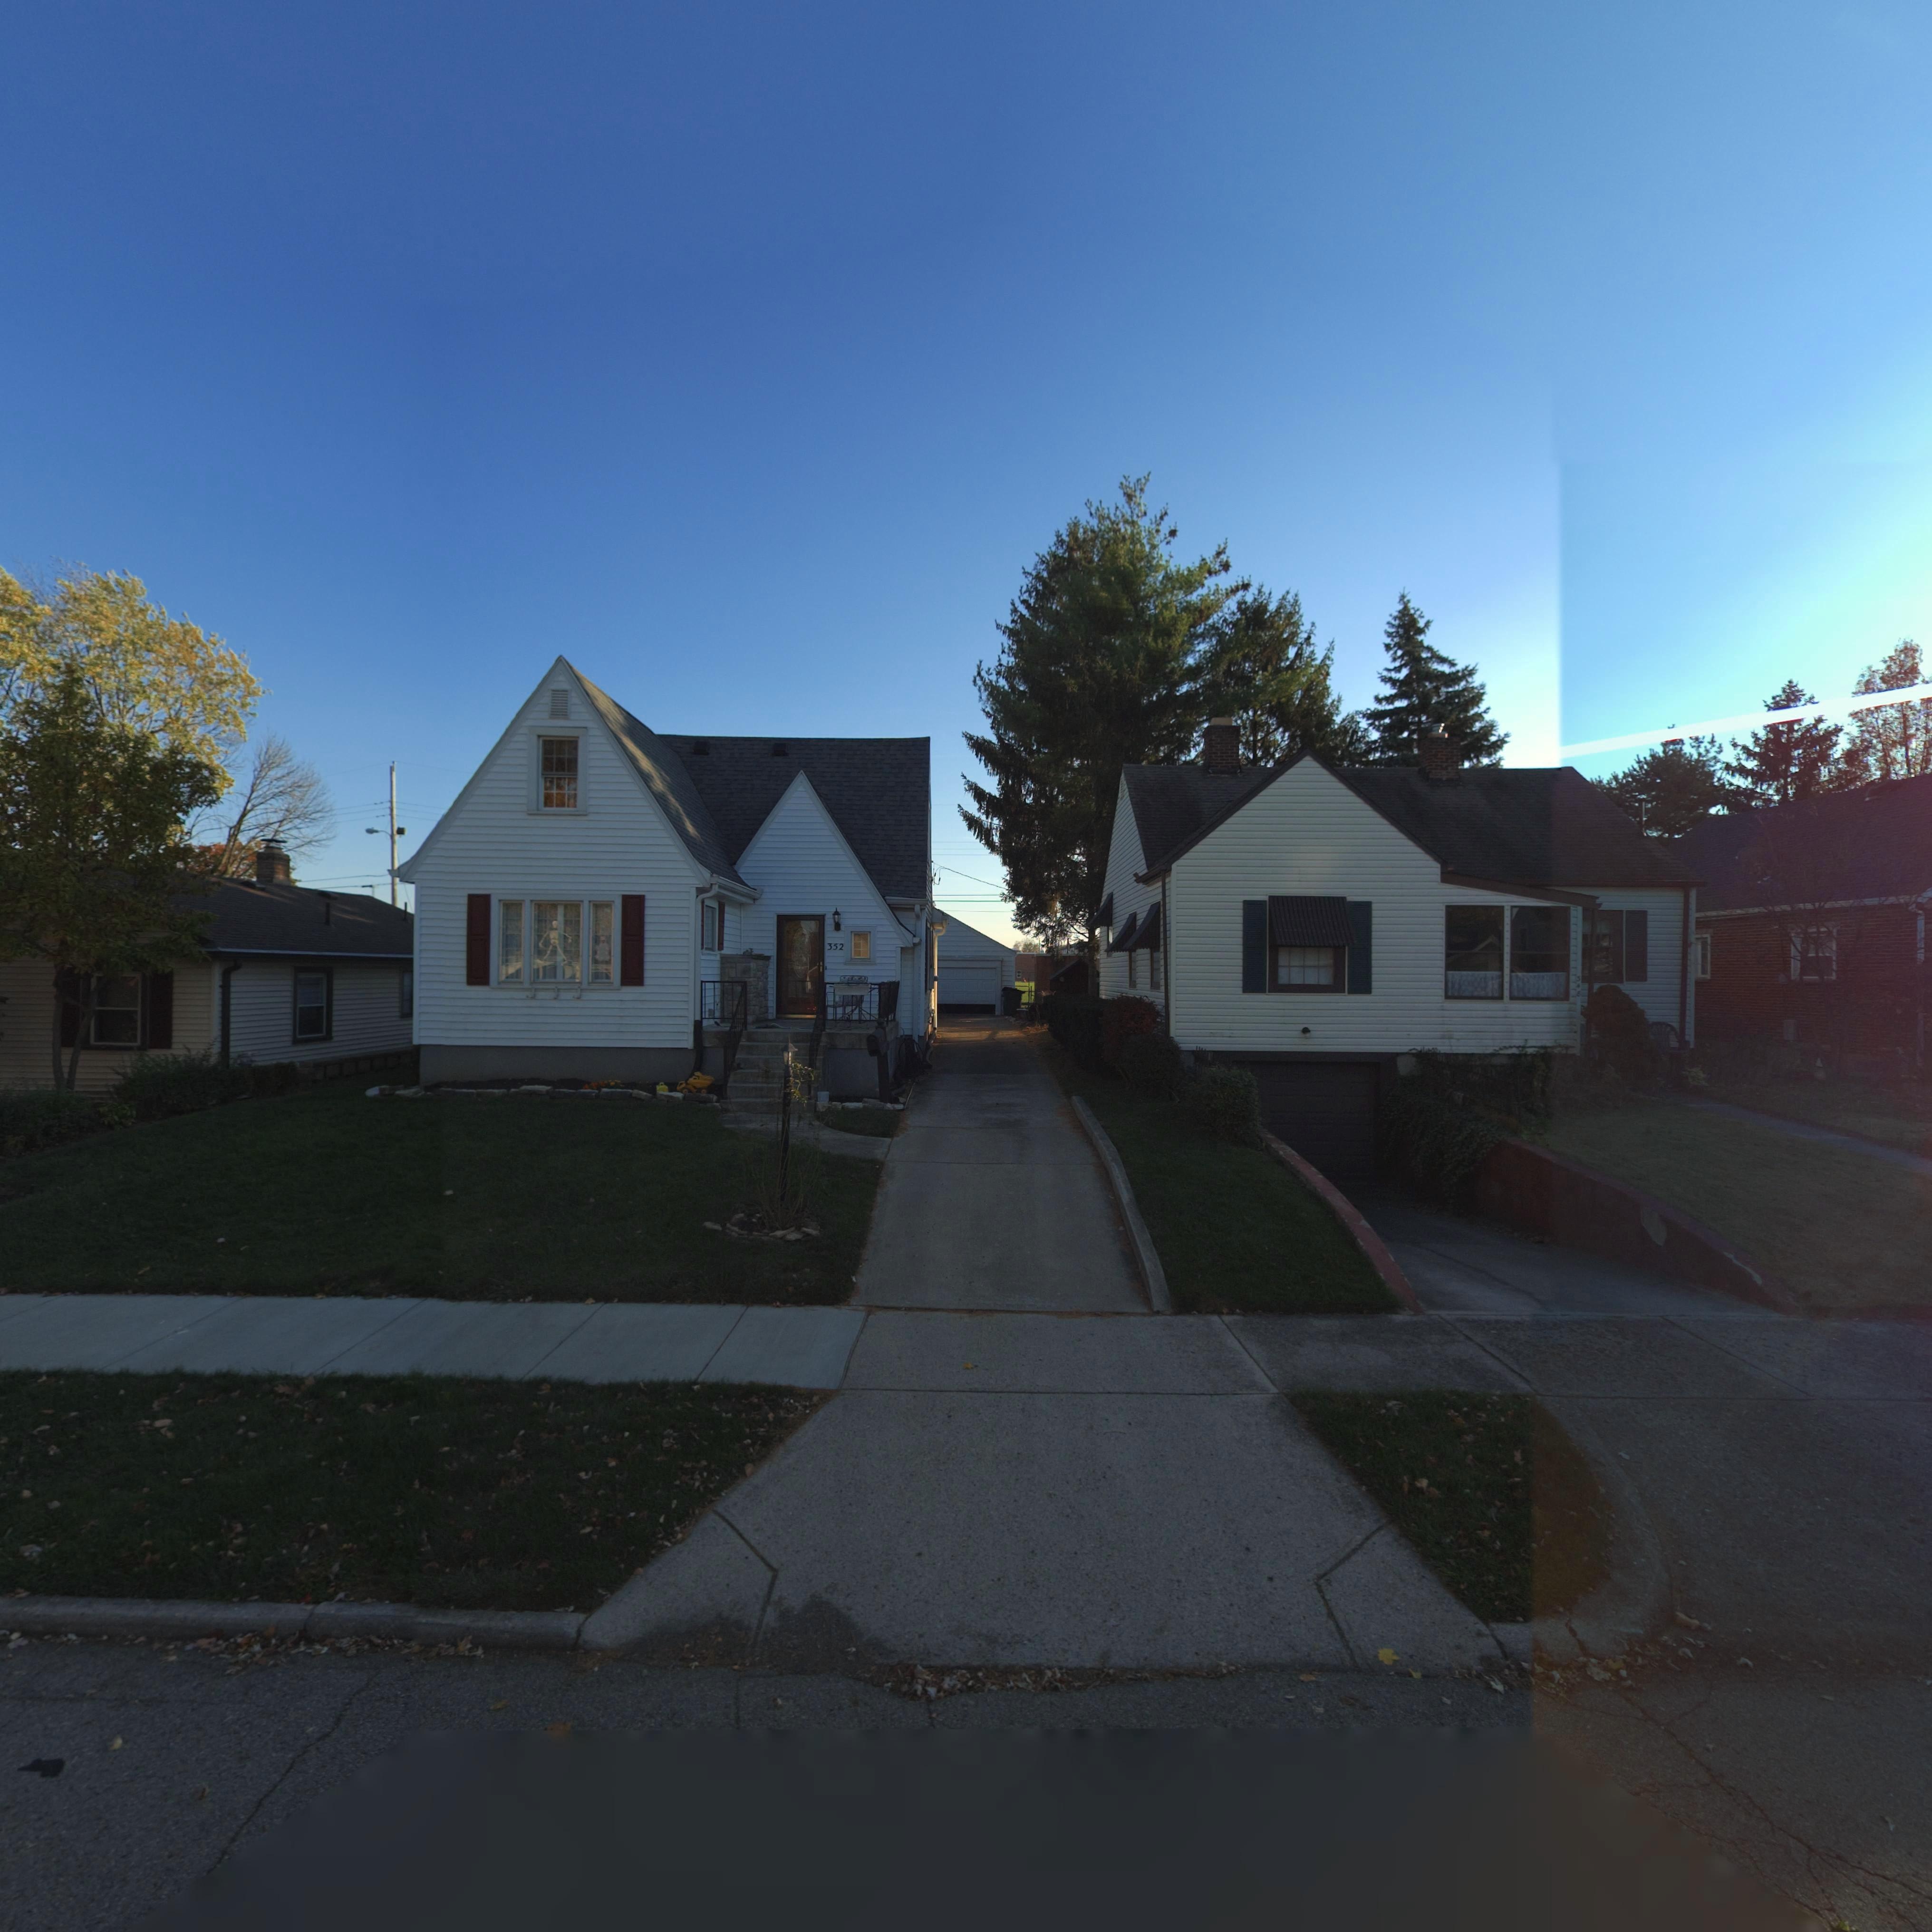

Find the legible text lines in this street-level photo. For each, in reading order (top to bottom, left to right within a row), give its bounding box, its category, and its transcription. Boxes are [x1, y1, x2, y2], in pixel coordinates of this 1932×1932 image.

[827, 942, 844, 951] StreetNumber: 352
[1575, 974, 1581, 997] StreetNumber: 348